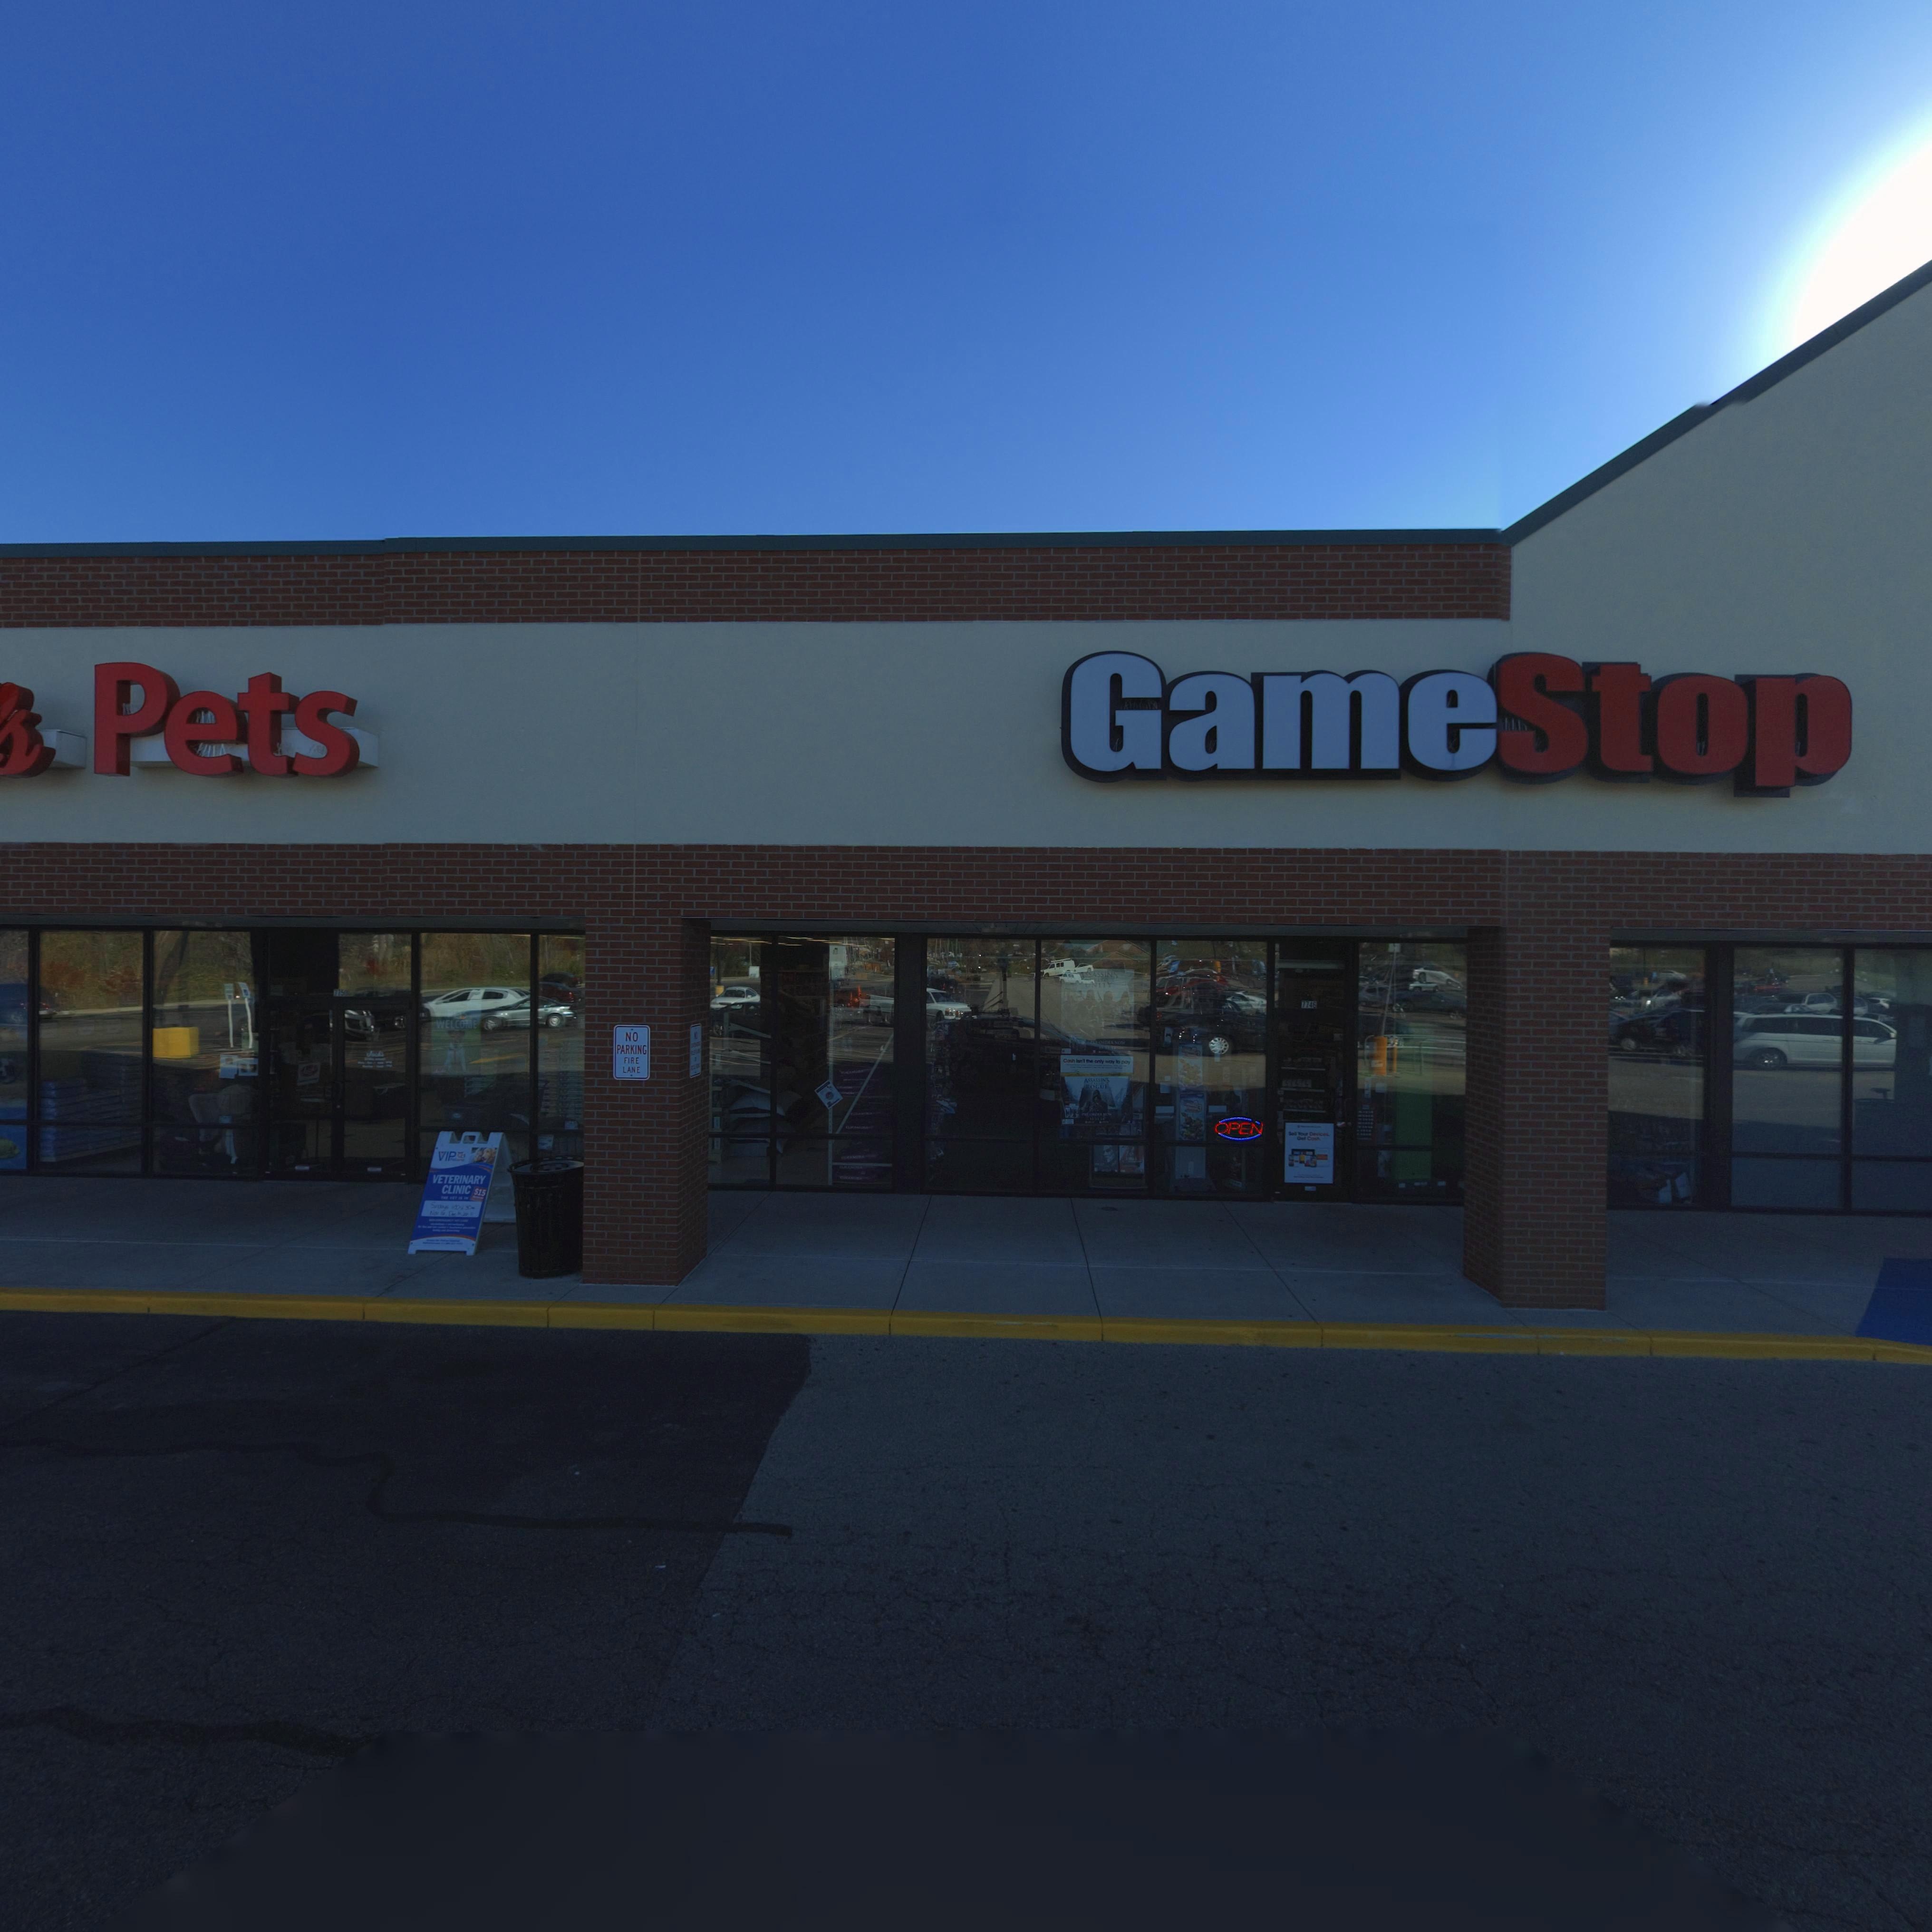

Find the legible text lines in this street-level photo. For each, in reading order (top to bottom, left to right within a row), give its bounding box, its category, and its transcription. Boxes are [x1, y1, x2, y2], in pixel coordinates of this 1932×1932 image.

[92, 659, 362, 779] BusinessName: PEts
[1069, 650, 1856, 790] BusinessName: GameStop
[334, 989, 348, 997] StreetNumber: *75*
[1301, 1000, 1317, 1009] StreetNumber: 7746